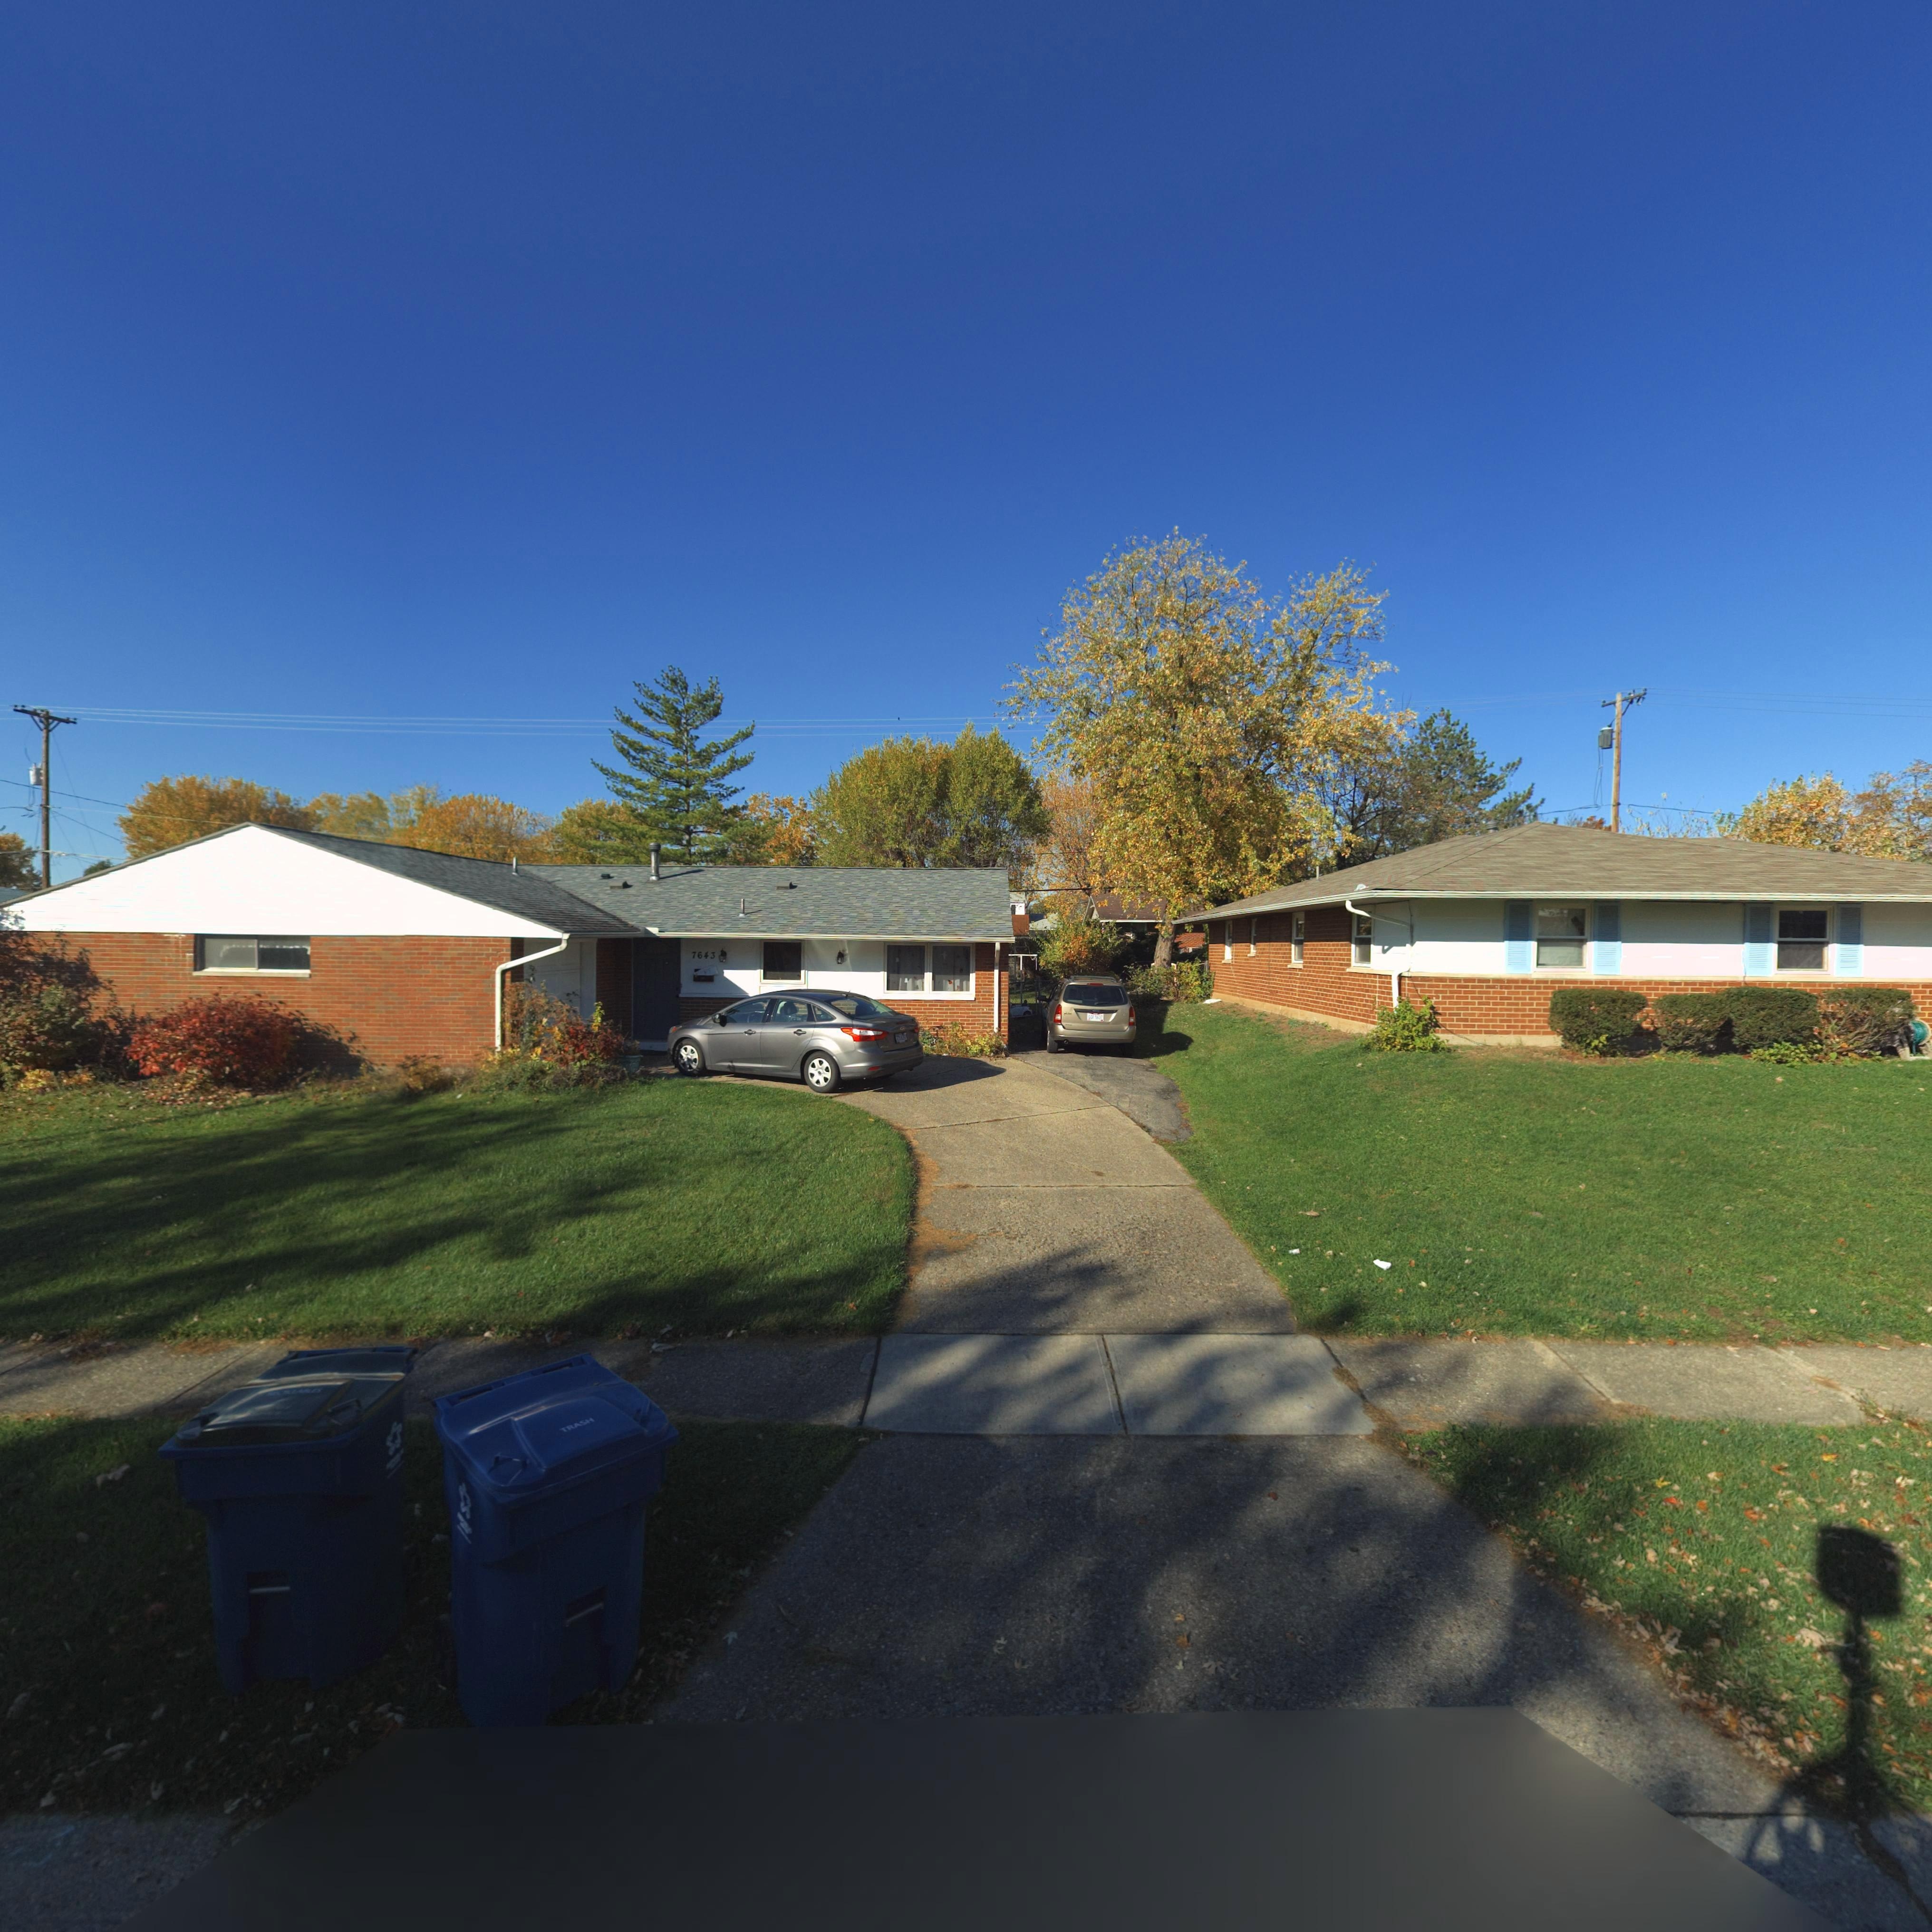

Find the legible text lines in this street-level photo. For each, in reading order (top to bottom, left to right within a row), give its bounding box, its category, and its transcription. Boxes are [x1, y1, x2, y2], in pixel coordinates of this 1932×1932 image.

[691, 951, 716, 959] StreetNumber: 7643